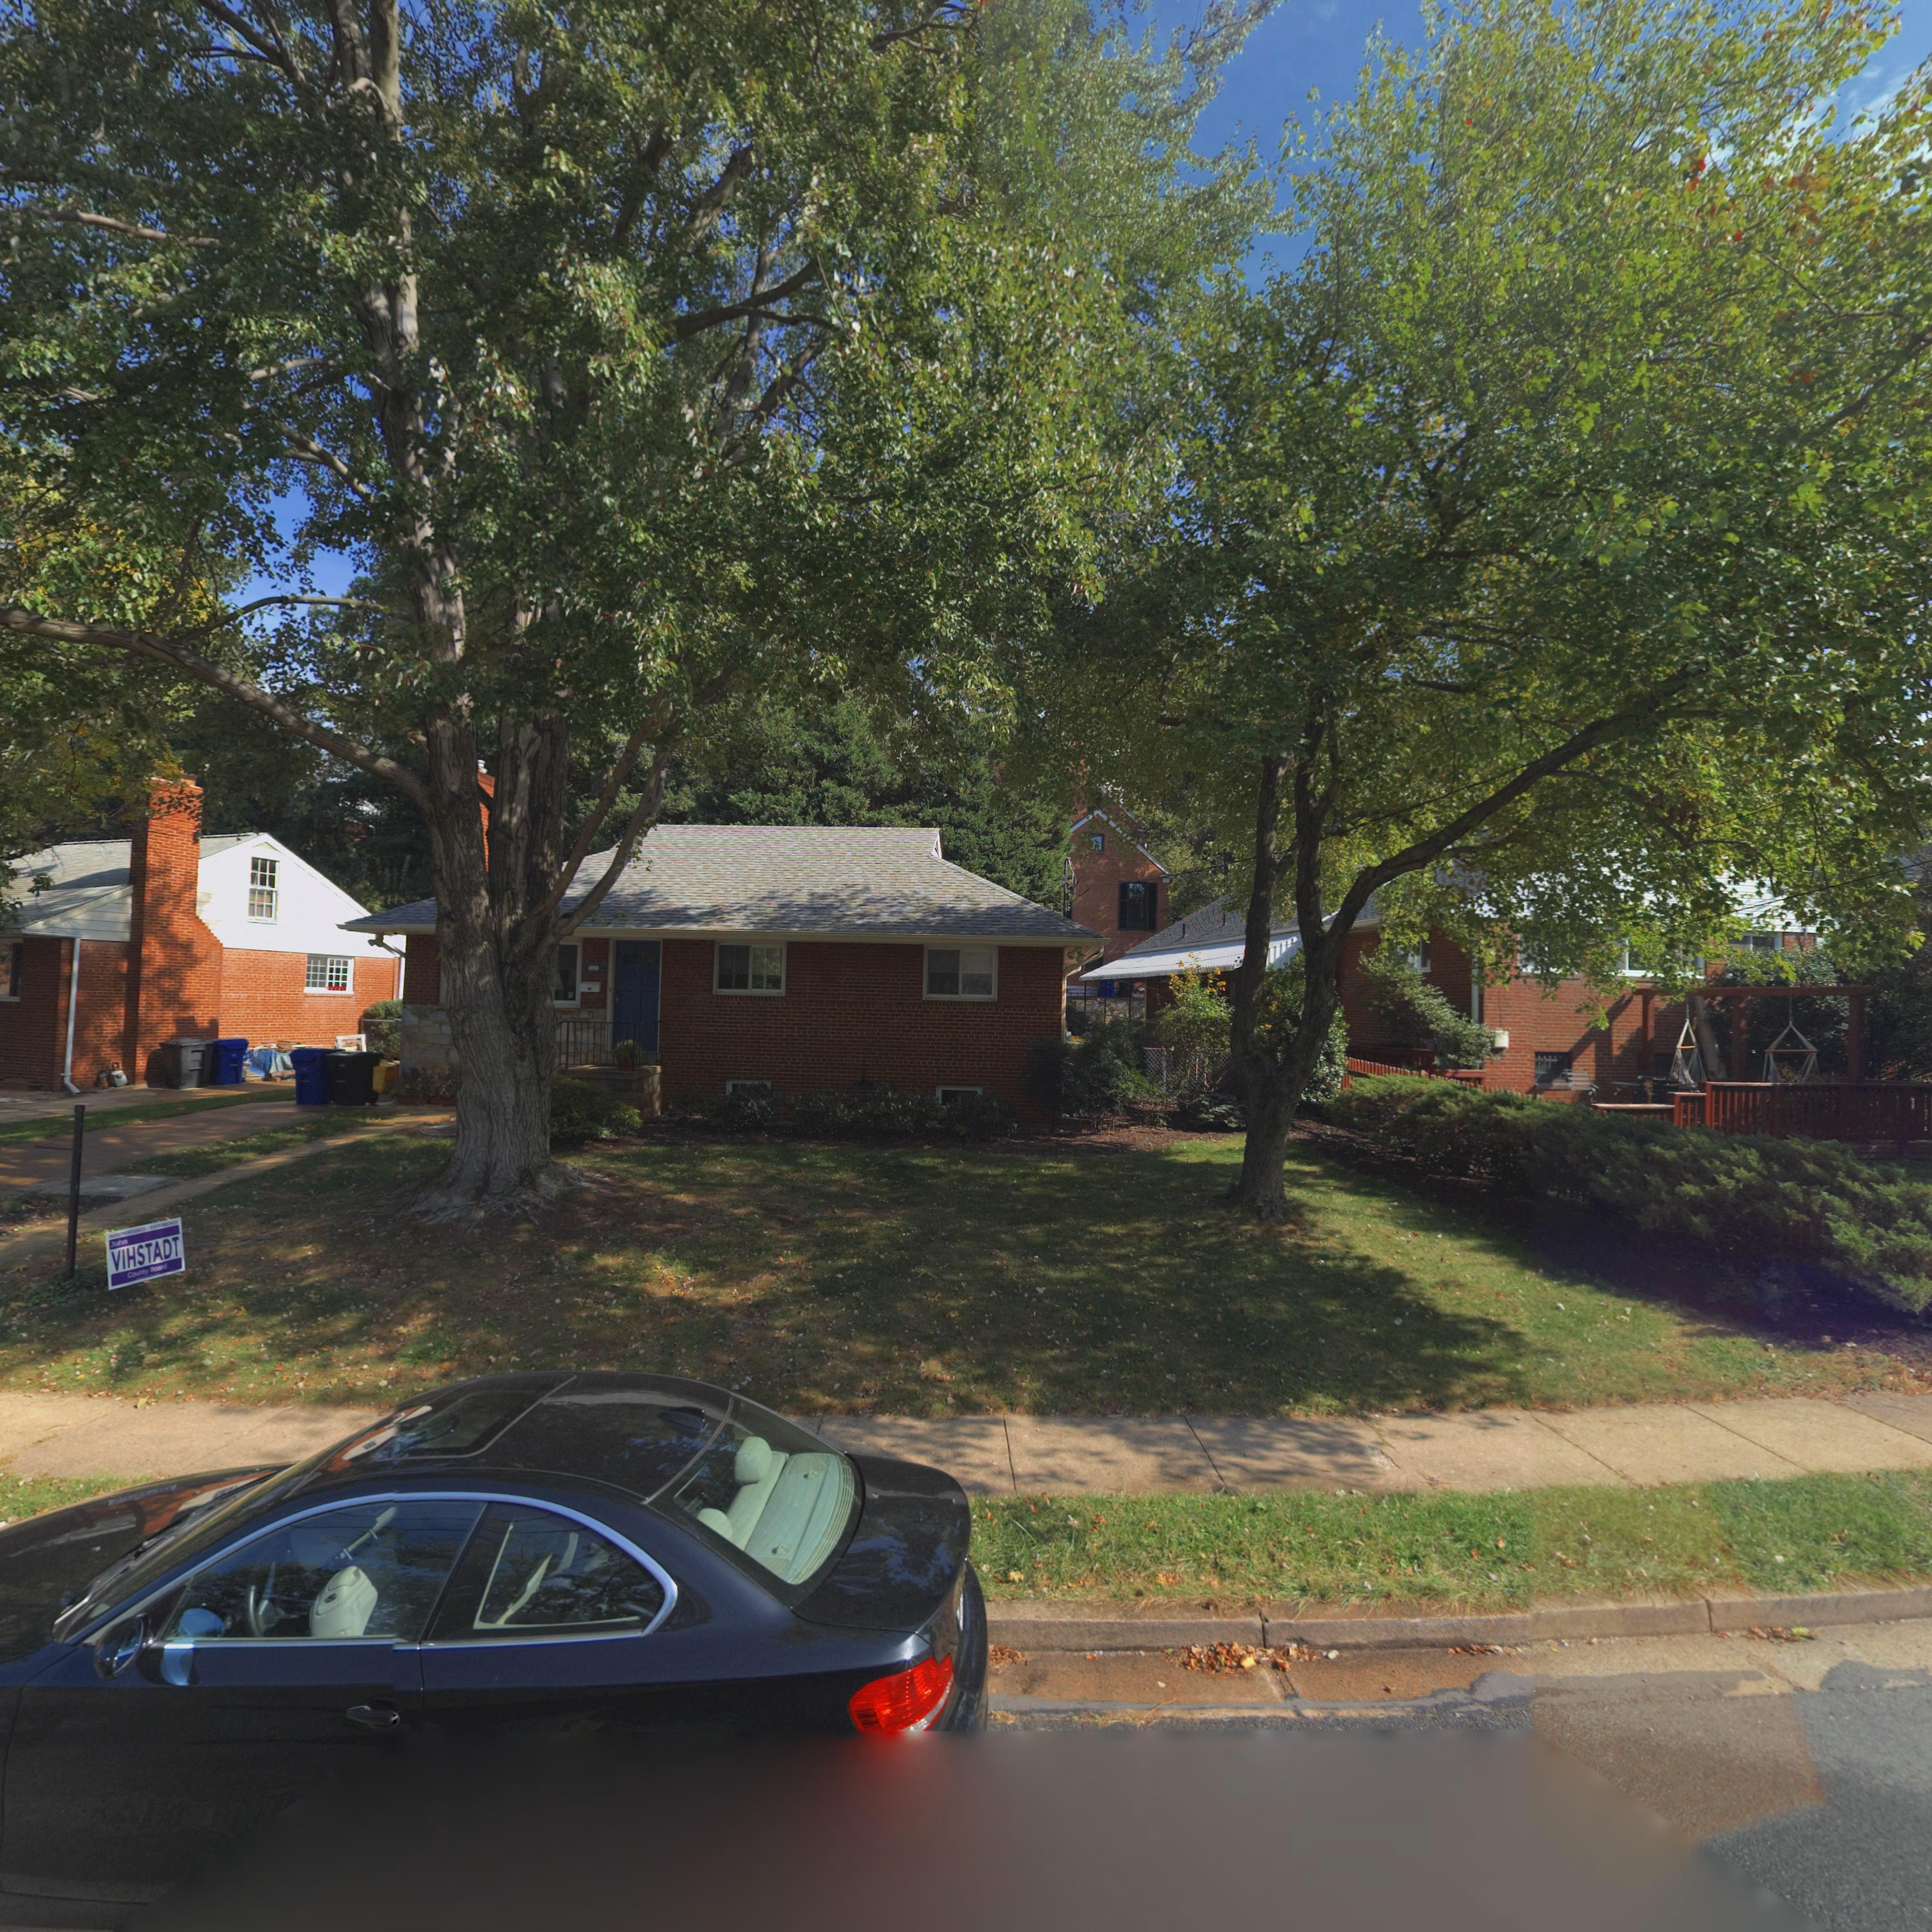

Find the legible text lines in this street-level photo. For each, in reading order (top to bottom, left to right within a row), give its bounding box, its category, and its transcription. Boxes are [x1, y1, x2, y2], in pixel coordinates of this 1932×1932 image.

[109, 1237, 130, 1250] None: Jo**
[108, 1234, 181, 1273] None: VIHSTADT